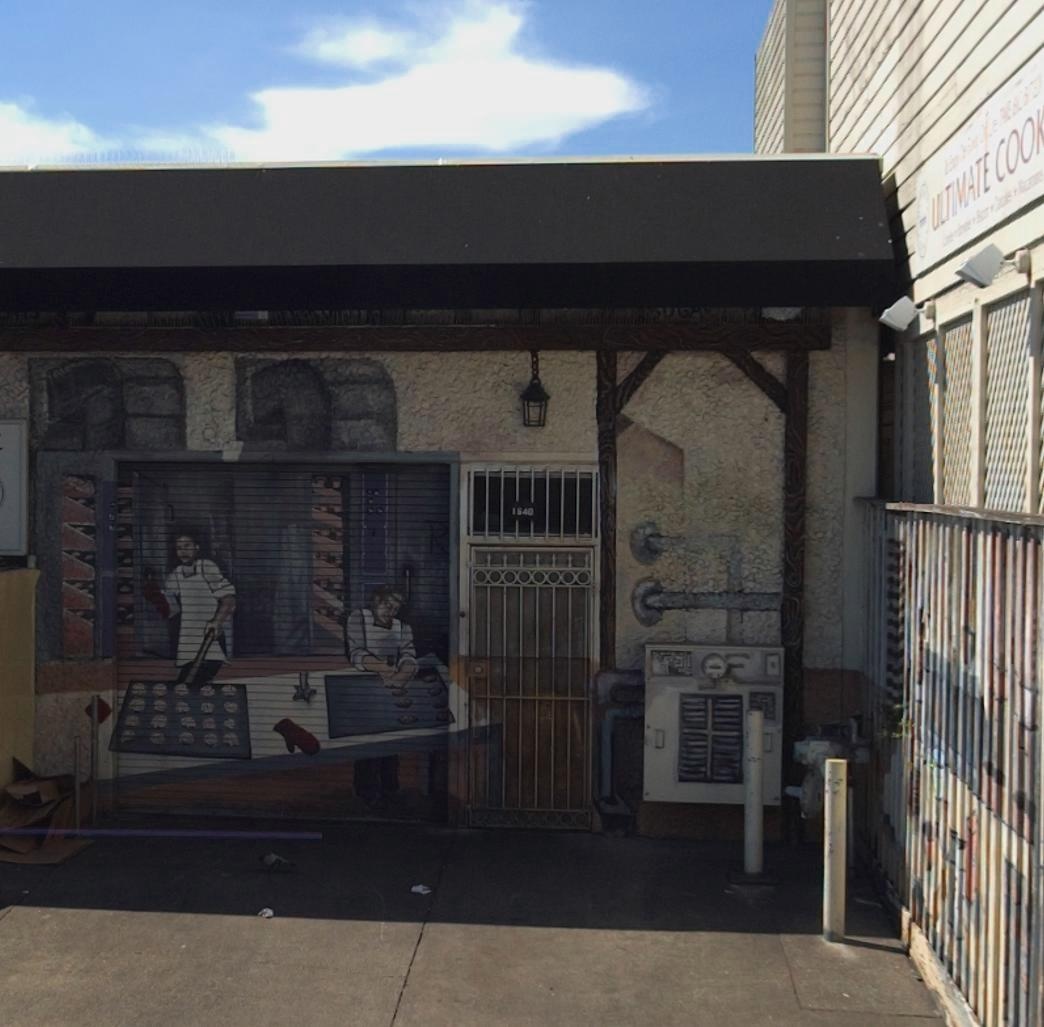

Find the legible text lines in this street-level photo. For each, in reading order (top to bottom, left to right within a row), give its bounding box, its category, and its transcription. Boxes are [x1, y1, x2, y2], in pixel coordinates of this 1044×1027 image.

[929, 95, 1044, 236] BusinessName: ULTIMATE COOK
[510, 506, 535, 517] StreetNumber: 1640